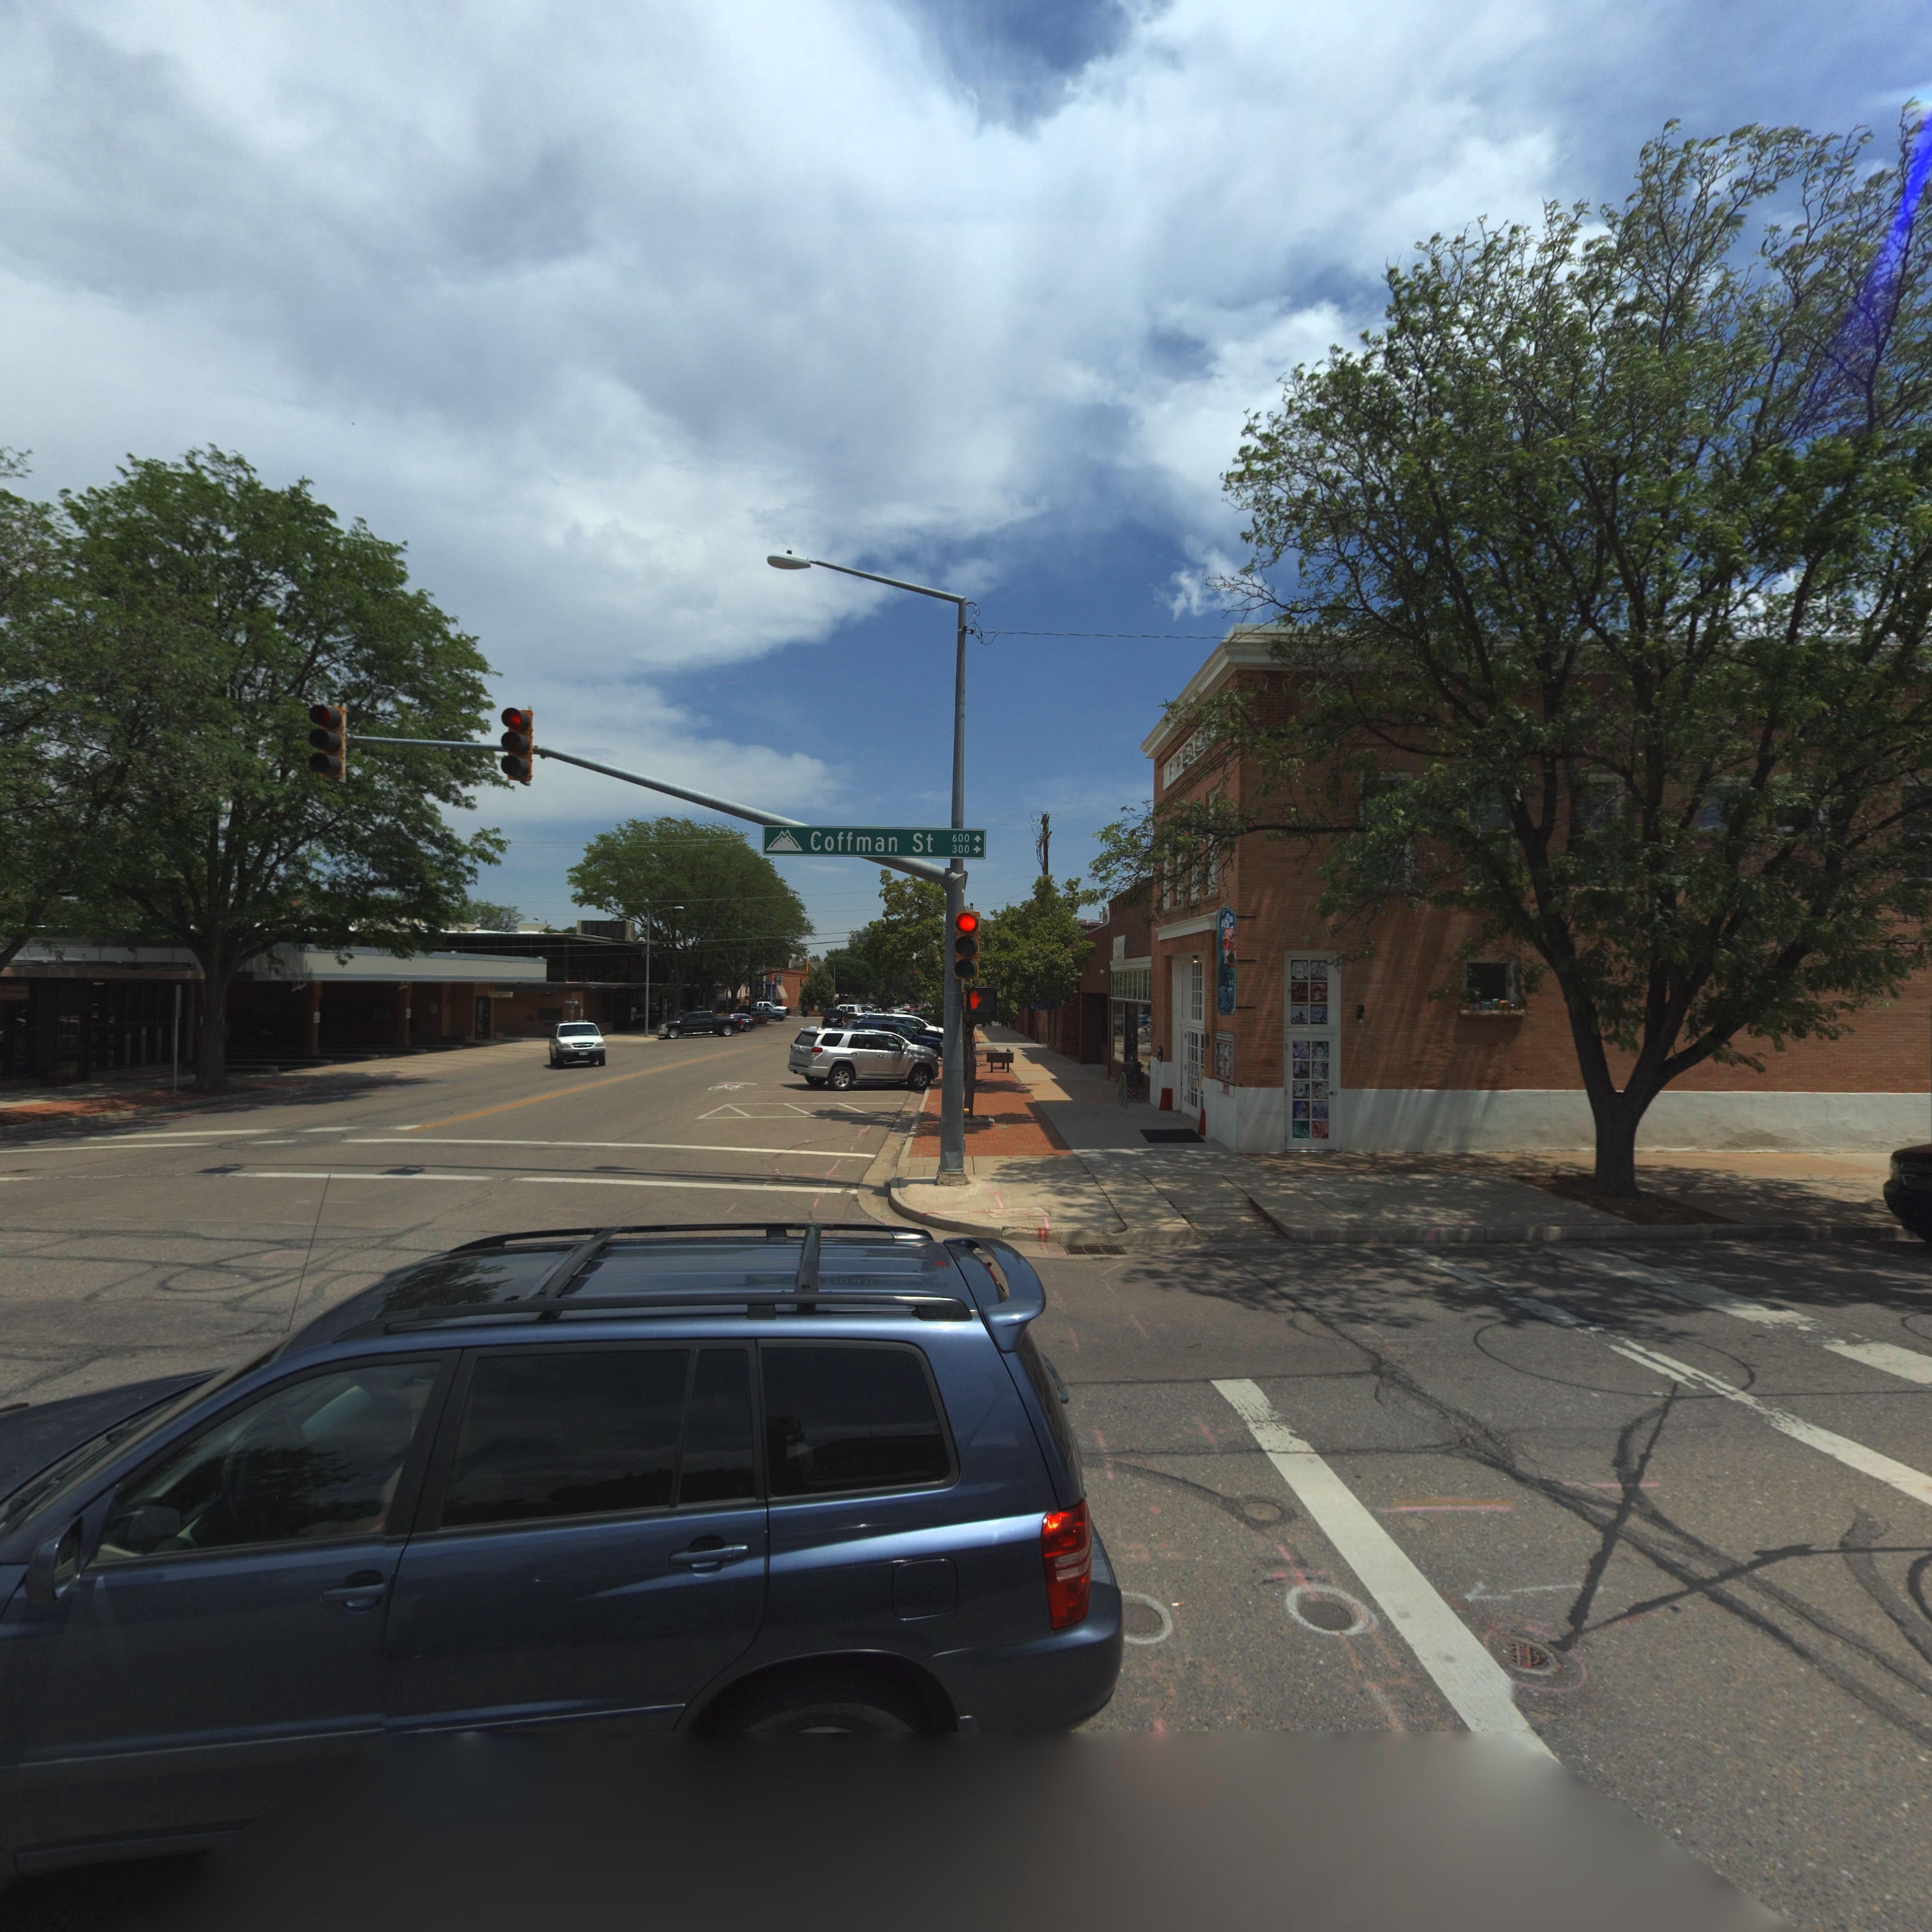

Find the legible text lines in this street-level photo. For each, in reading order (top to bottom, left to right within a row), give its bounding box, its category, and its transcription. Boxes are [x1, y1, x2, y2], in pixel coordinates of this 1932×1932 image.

[1168, 719, 1213, 783] BusinessName: FIR* *****
[810, 831, 933, 852] StreetName: Coffman St
[952, 833, 969, 842] StreetNumberRange: 600
[951, 844, 982, 853] StreetNumberRange: 300->